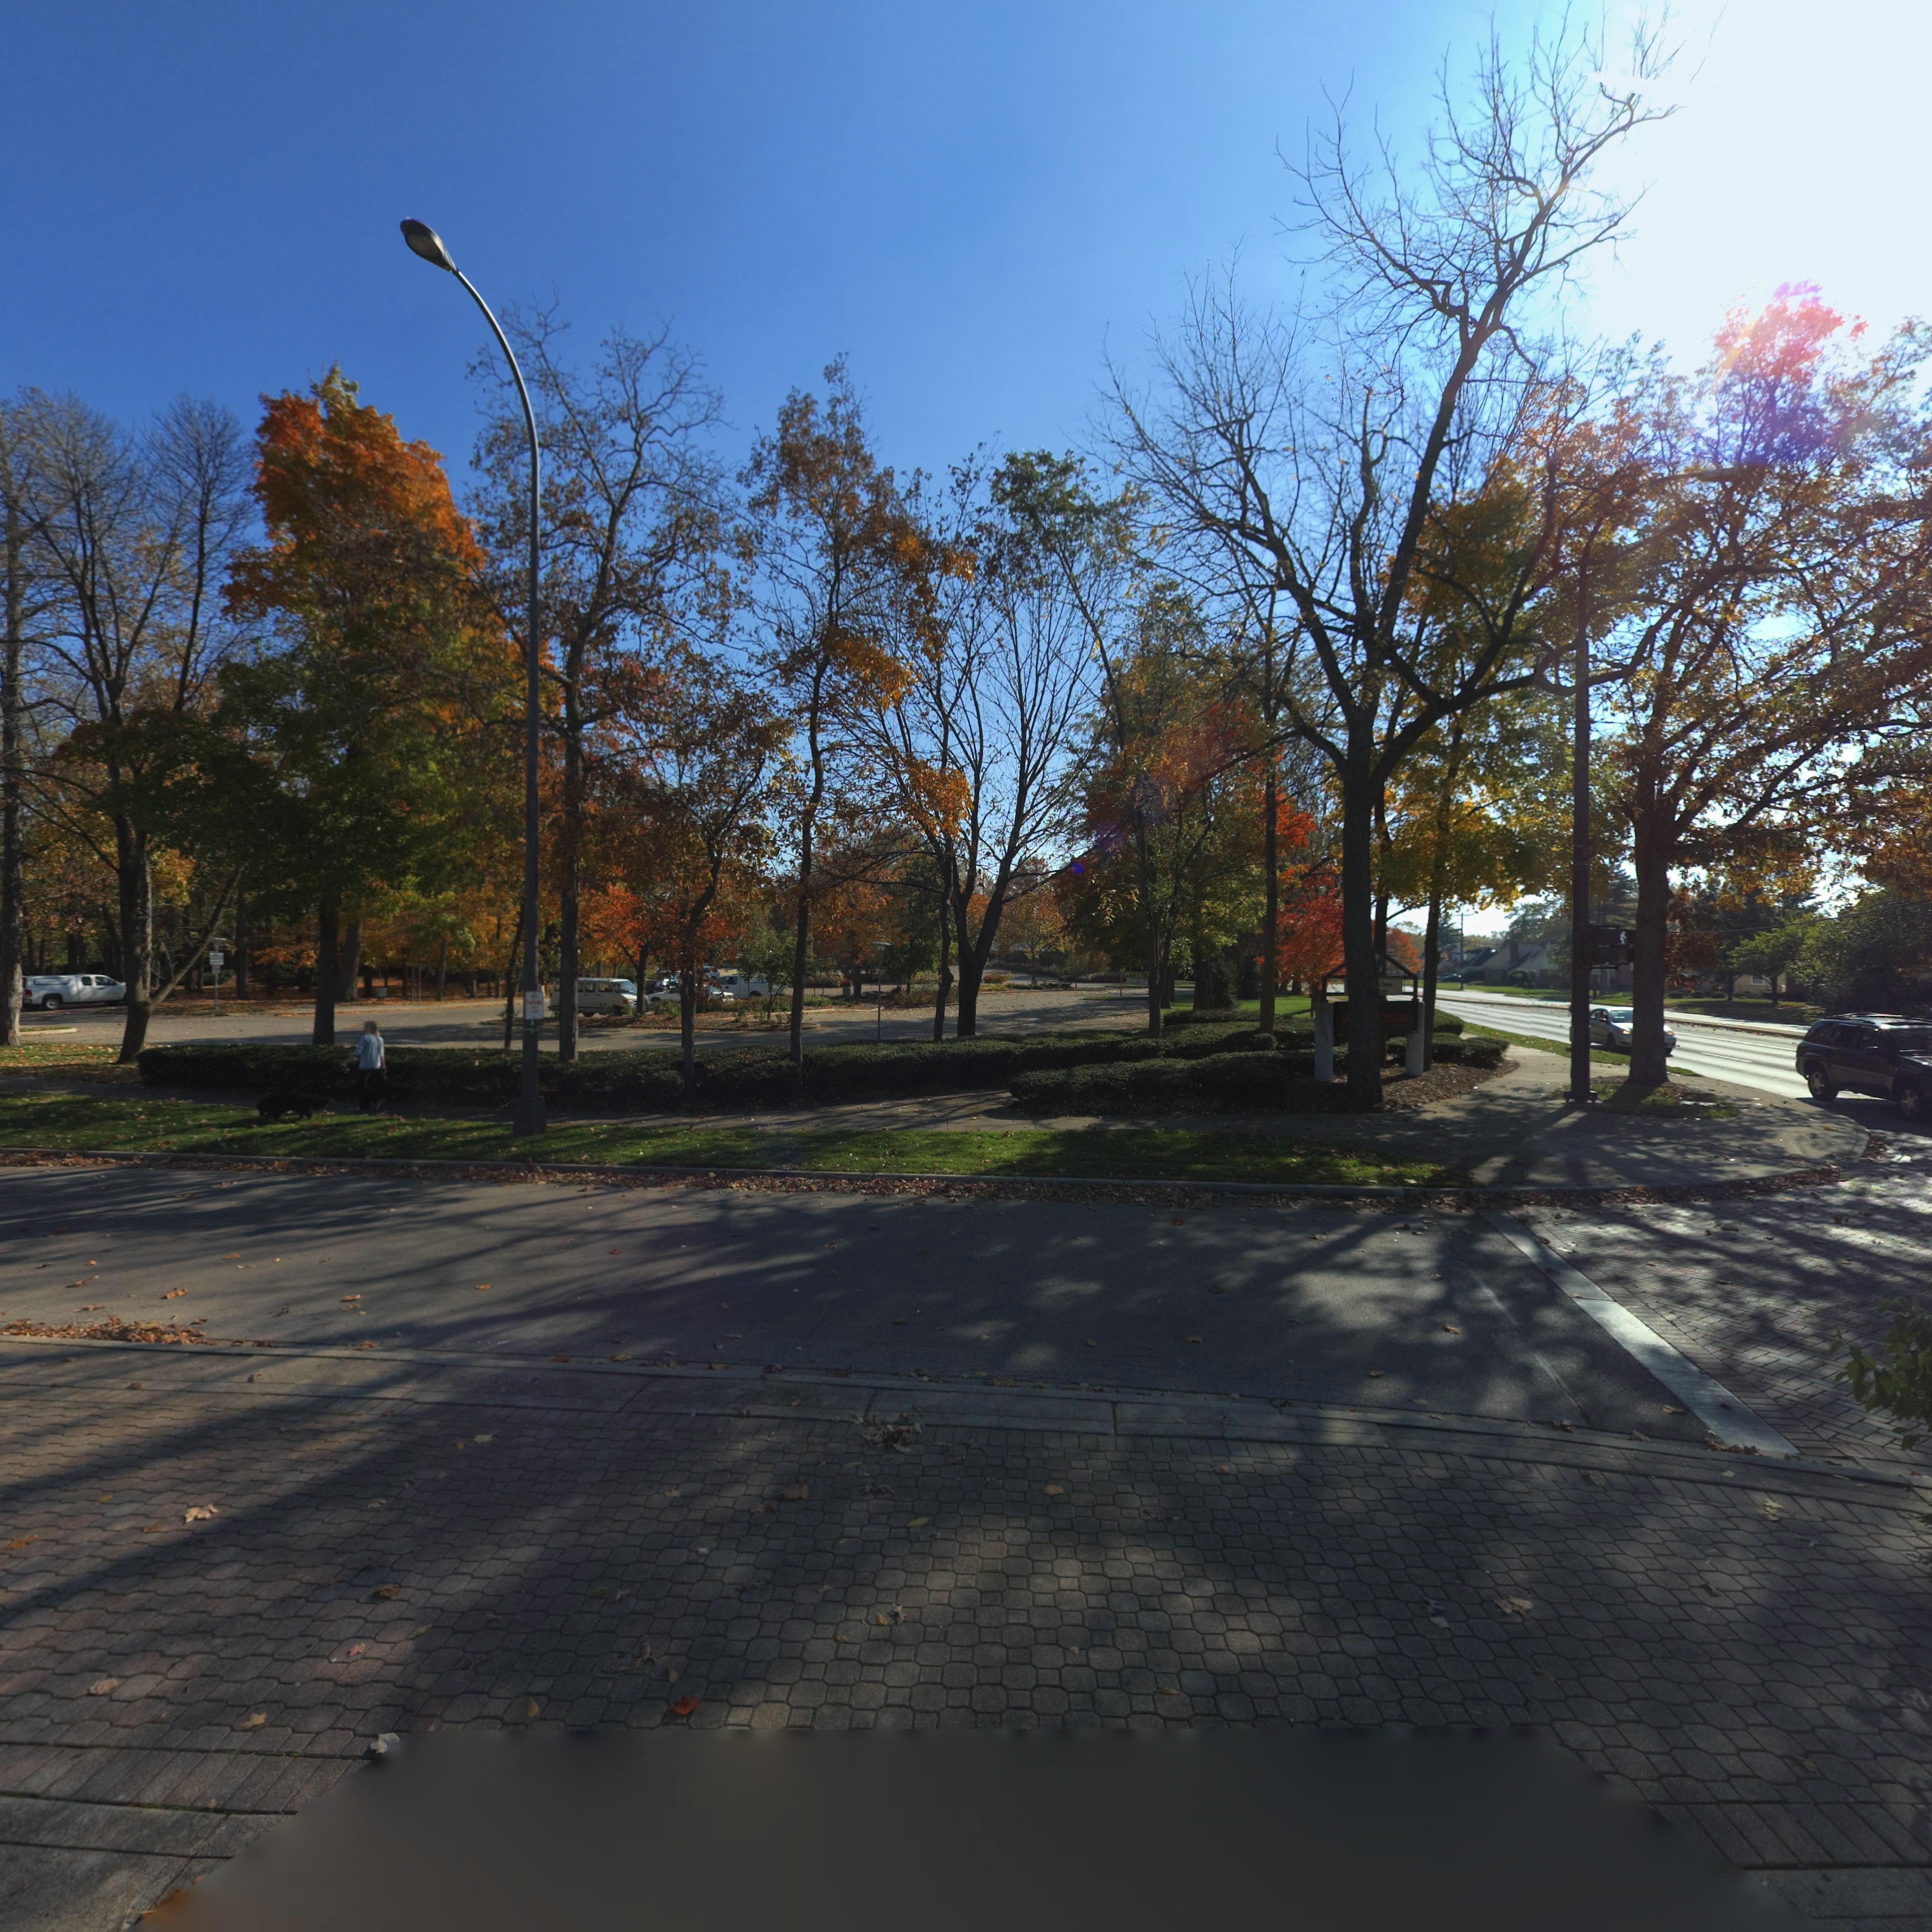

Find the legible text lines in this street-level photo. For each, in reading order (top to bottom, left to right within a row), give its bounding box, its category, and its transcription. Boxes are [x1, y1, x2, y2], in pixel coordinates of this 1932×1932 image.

[530, 994, 538, 999] None: NO
[526, 999, 542, 1005] None: PARKING
[530, 1005, 538, 1009] None: ANY
[529, 1009, 539, 1013] None: TIME